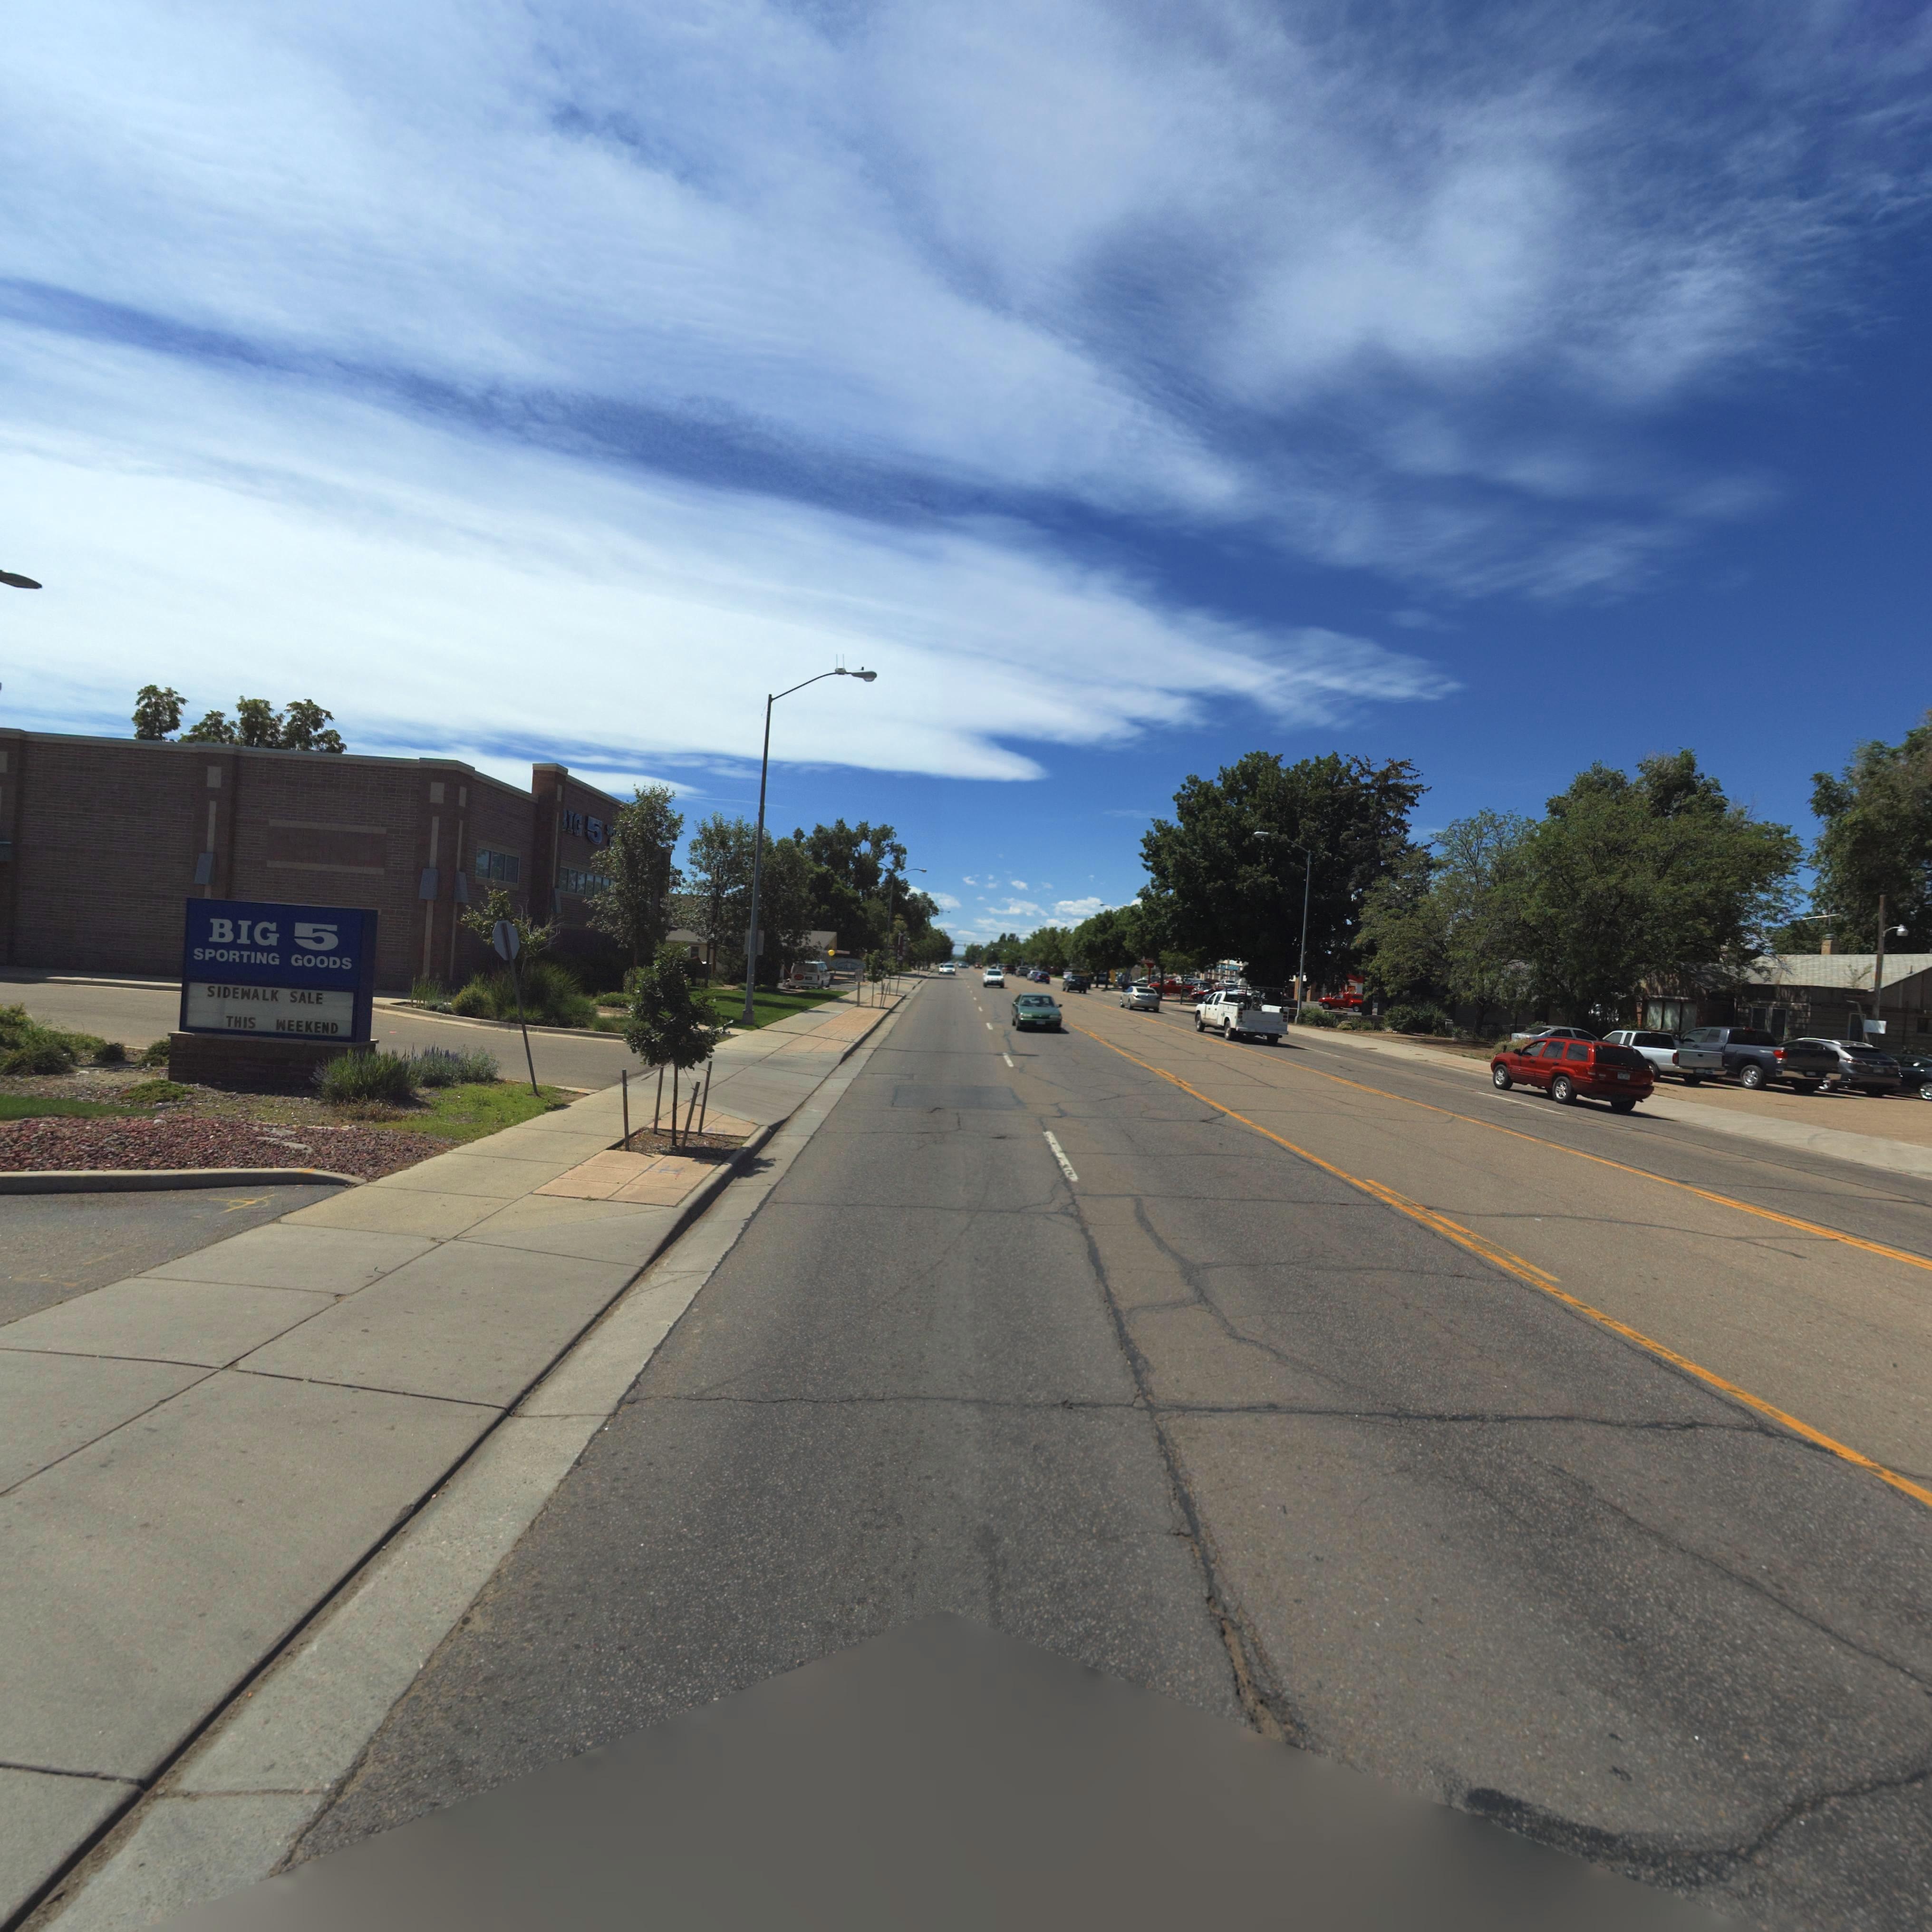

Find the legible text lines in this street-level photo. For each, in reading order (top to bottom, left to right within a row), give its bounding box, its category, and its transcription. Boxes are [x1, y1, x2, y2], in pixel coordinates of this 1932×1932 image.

[561, 807, 603, 845] BusinessName: *IG 5
[606, 824, 617, 837] BusinessName: SP*
[208, 918, 339, 952] BusinessName: BIG 5
[193, 947, 352, 970] BusinessName: SPORTING GOODS